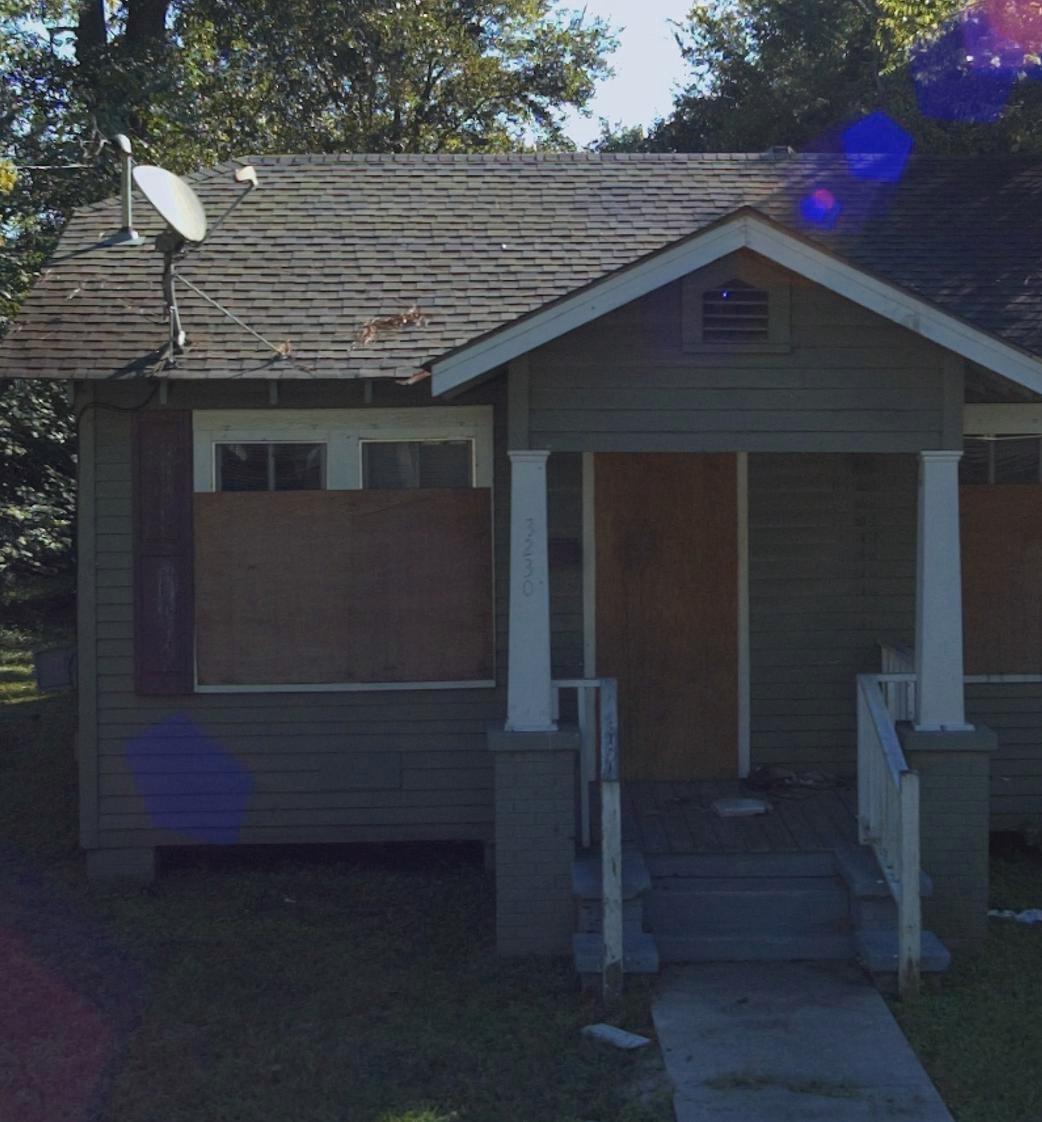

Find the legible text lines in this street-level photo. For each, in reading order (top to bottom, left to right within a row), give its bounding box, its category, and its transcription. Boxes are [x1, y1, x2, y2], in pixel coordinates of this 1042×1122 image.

[520, 514, 537, 600] StreetNumber: 3230